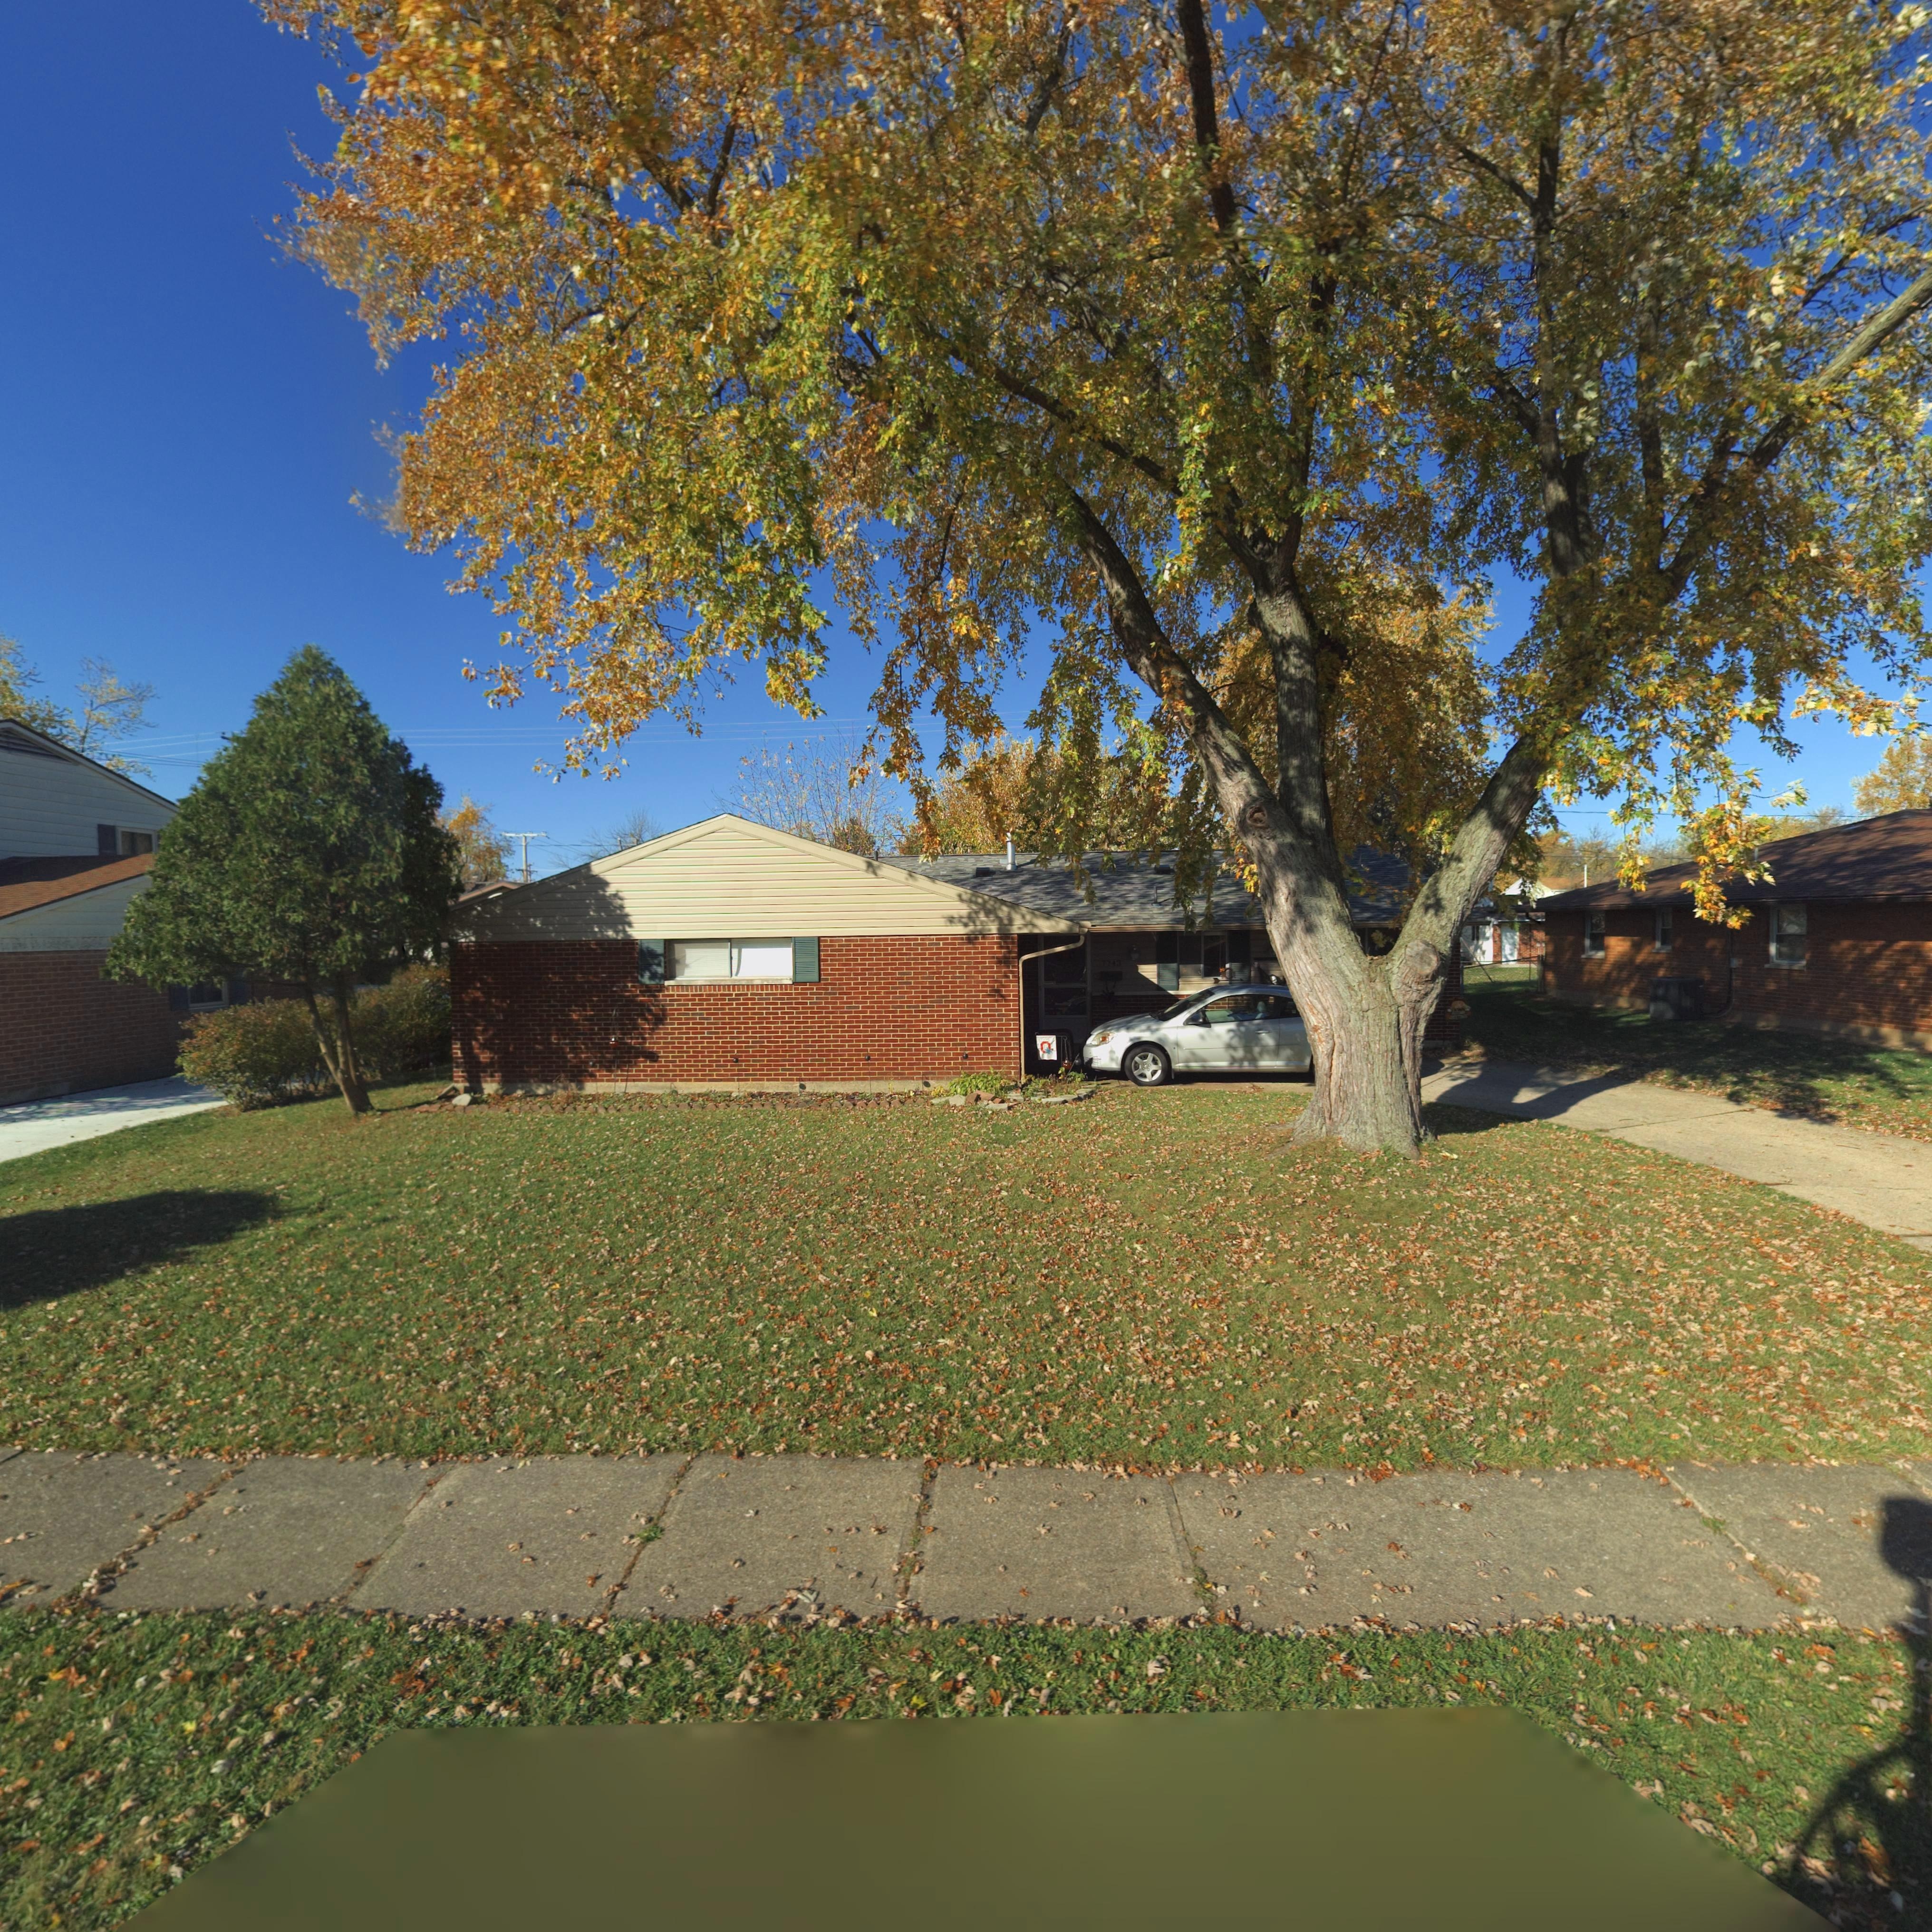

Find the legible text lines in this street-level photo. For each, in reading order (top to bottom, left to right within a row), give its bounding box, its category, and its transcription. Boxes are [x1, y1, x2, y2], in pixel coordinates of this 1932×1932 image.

[1101, 959, 1122, 967] StreetNumber: 7743